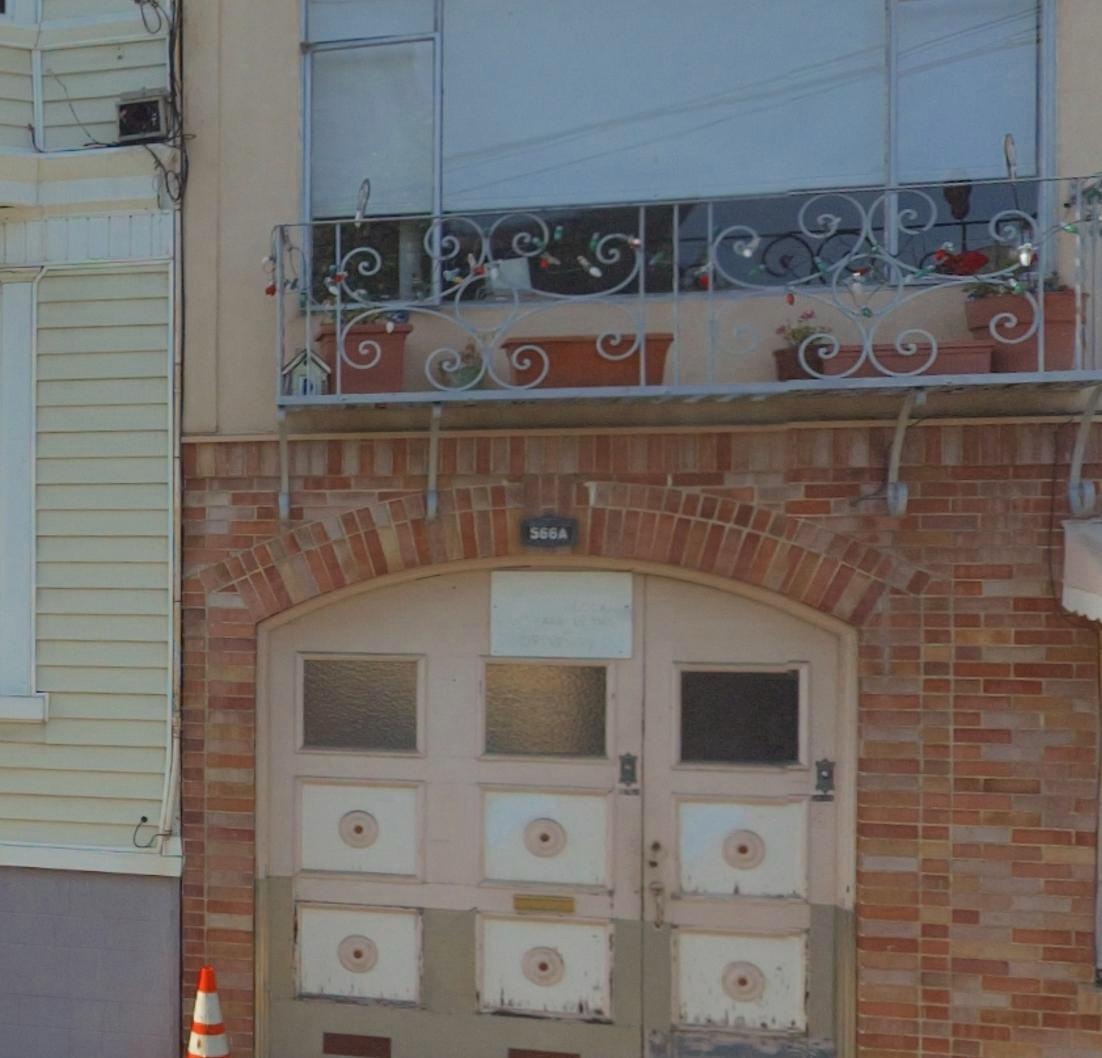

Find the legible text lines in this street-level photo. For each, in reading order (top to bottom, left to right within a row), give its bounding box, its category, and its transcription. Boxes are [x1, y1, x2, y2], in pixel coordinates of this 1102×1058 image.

[528, 524, 569, 543] StreetNumber: 566A